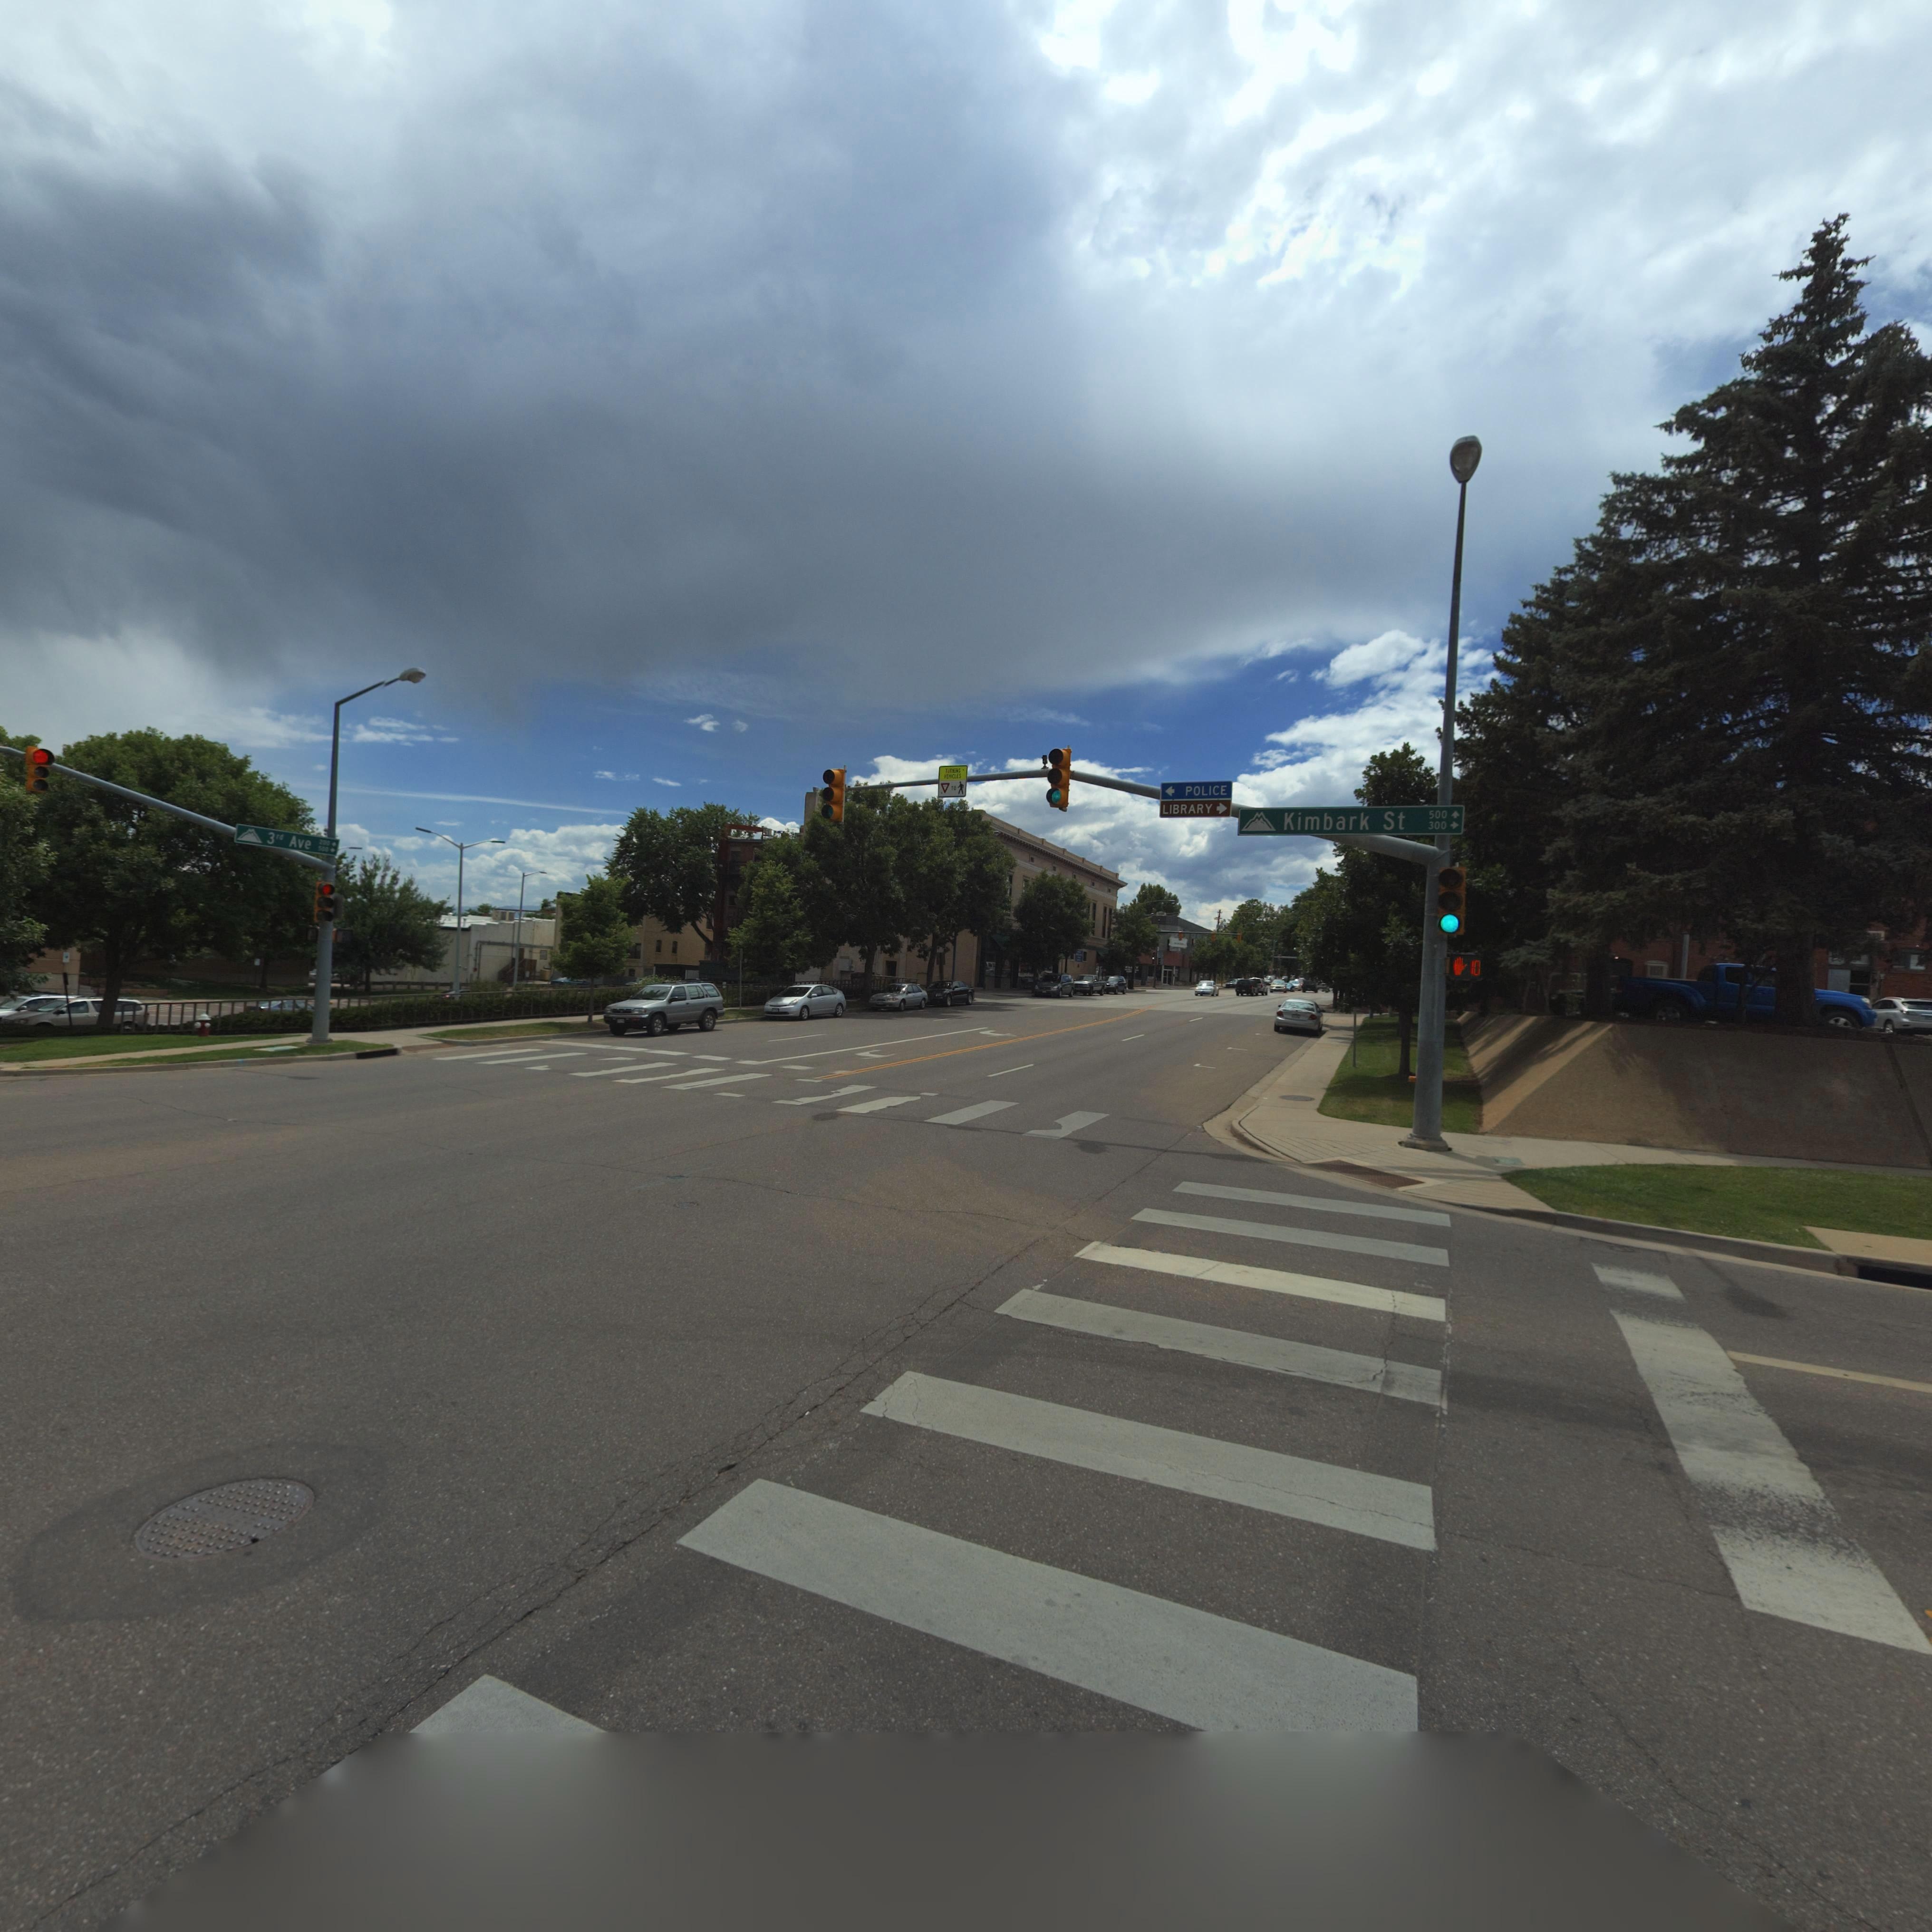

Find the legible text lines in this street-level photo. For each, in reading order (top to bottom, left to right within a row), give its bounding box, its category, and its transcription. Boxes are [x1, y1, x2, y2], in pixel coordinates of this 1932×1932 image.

[1429, 810, 1447, 819] StreetNumberRange: 500
[1283, 811, 1405, 830] StreetName: Kimbark St
[1428, 821, 1459, 830] StreetNumberRange: 300 ->
[266, 831, 311, 850] StreetName: 3rd Ave
[319, 839, 330, 846] StreetNumberRange: 200
[318, 845, 335, 853] StreetNumberRange: 500 ->